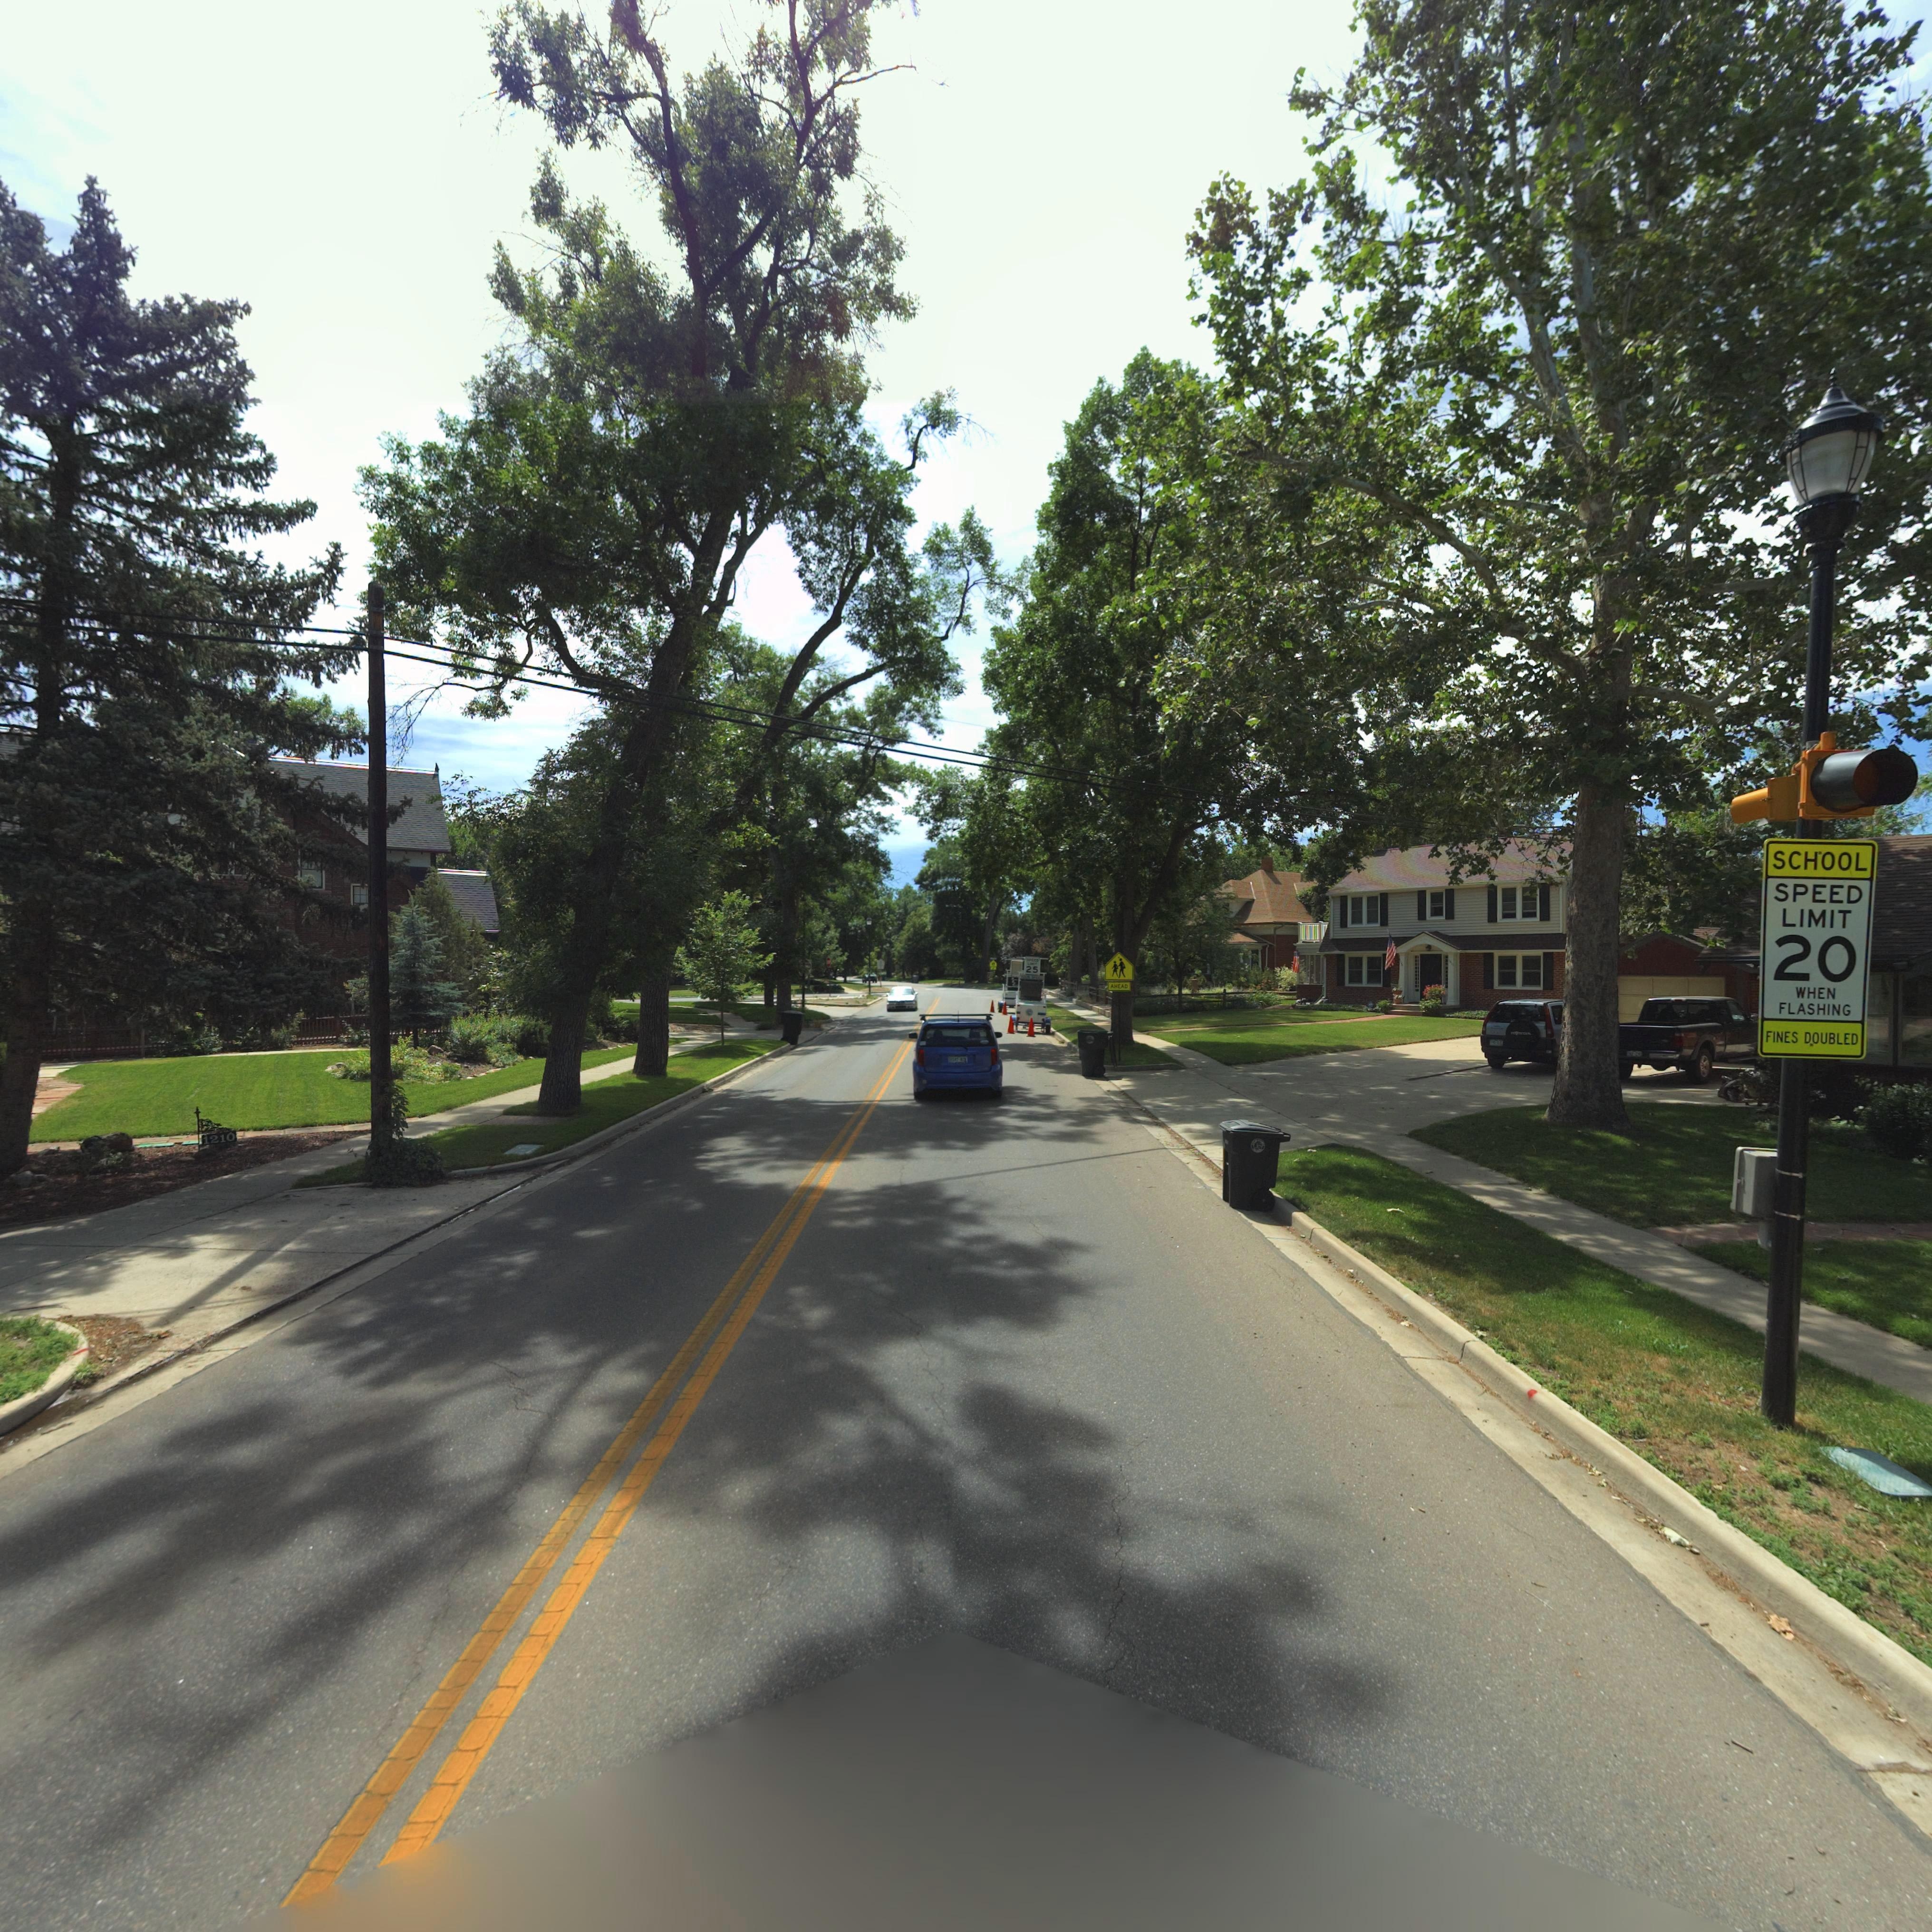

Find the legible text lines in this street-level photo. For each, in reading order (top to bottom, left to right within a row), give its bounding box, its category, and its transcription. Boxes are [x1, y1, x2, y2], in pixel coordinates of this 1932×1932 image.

[203, 1132, 235, 1144] StreetNumber: 1210